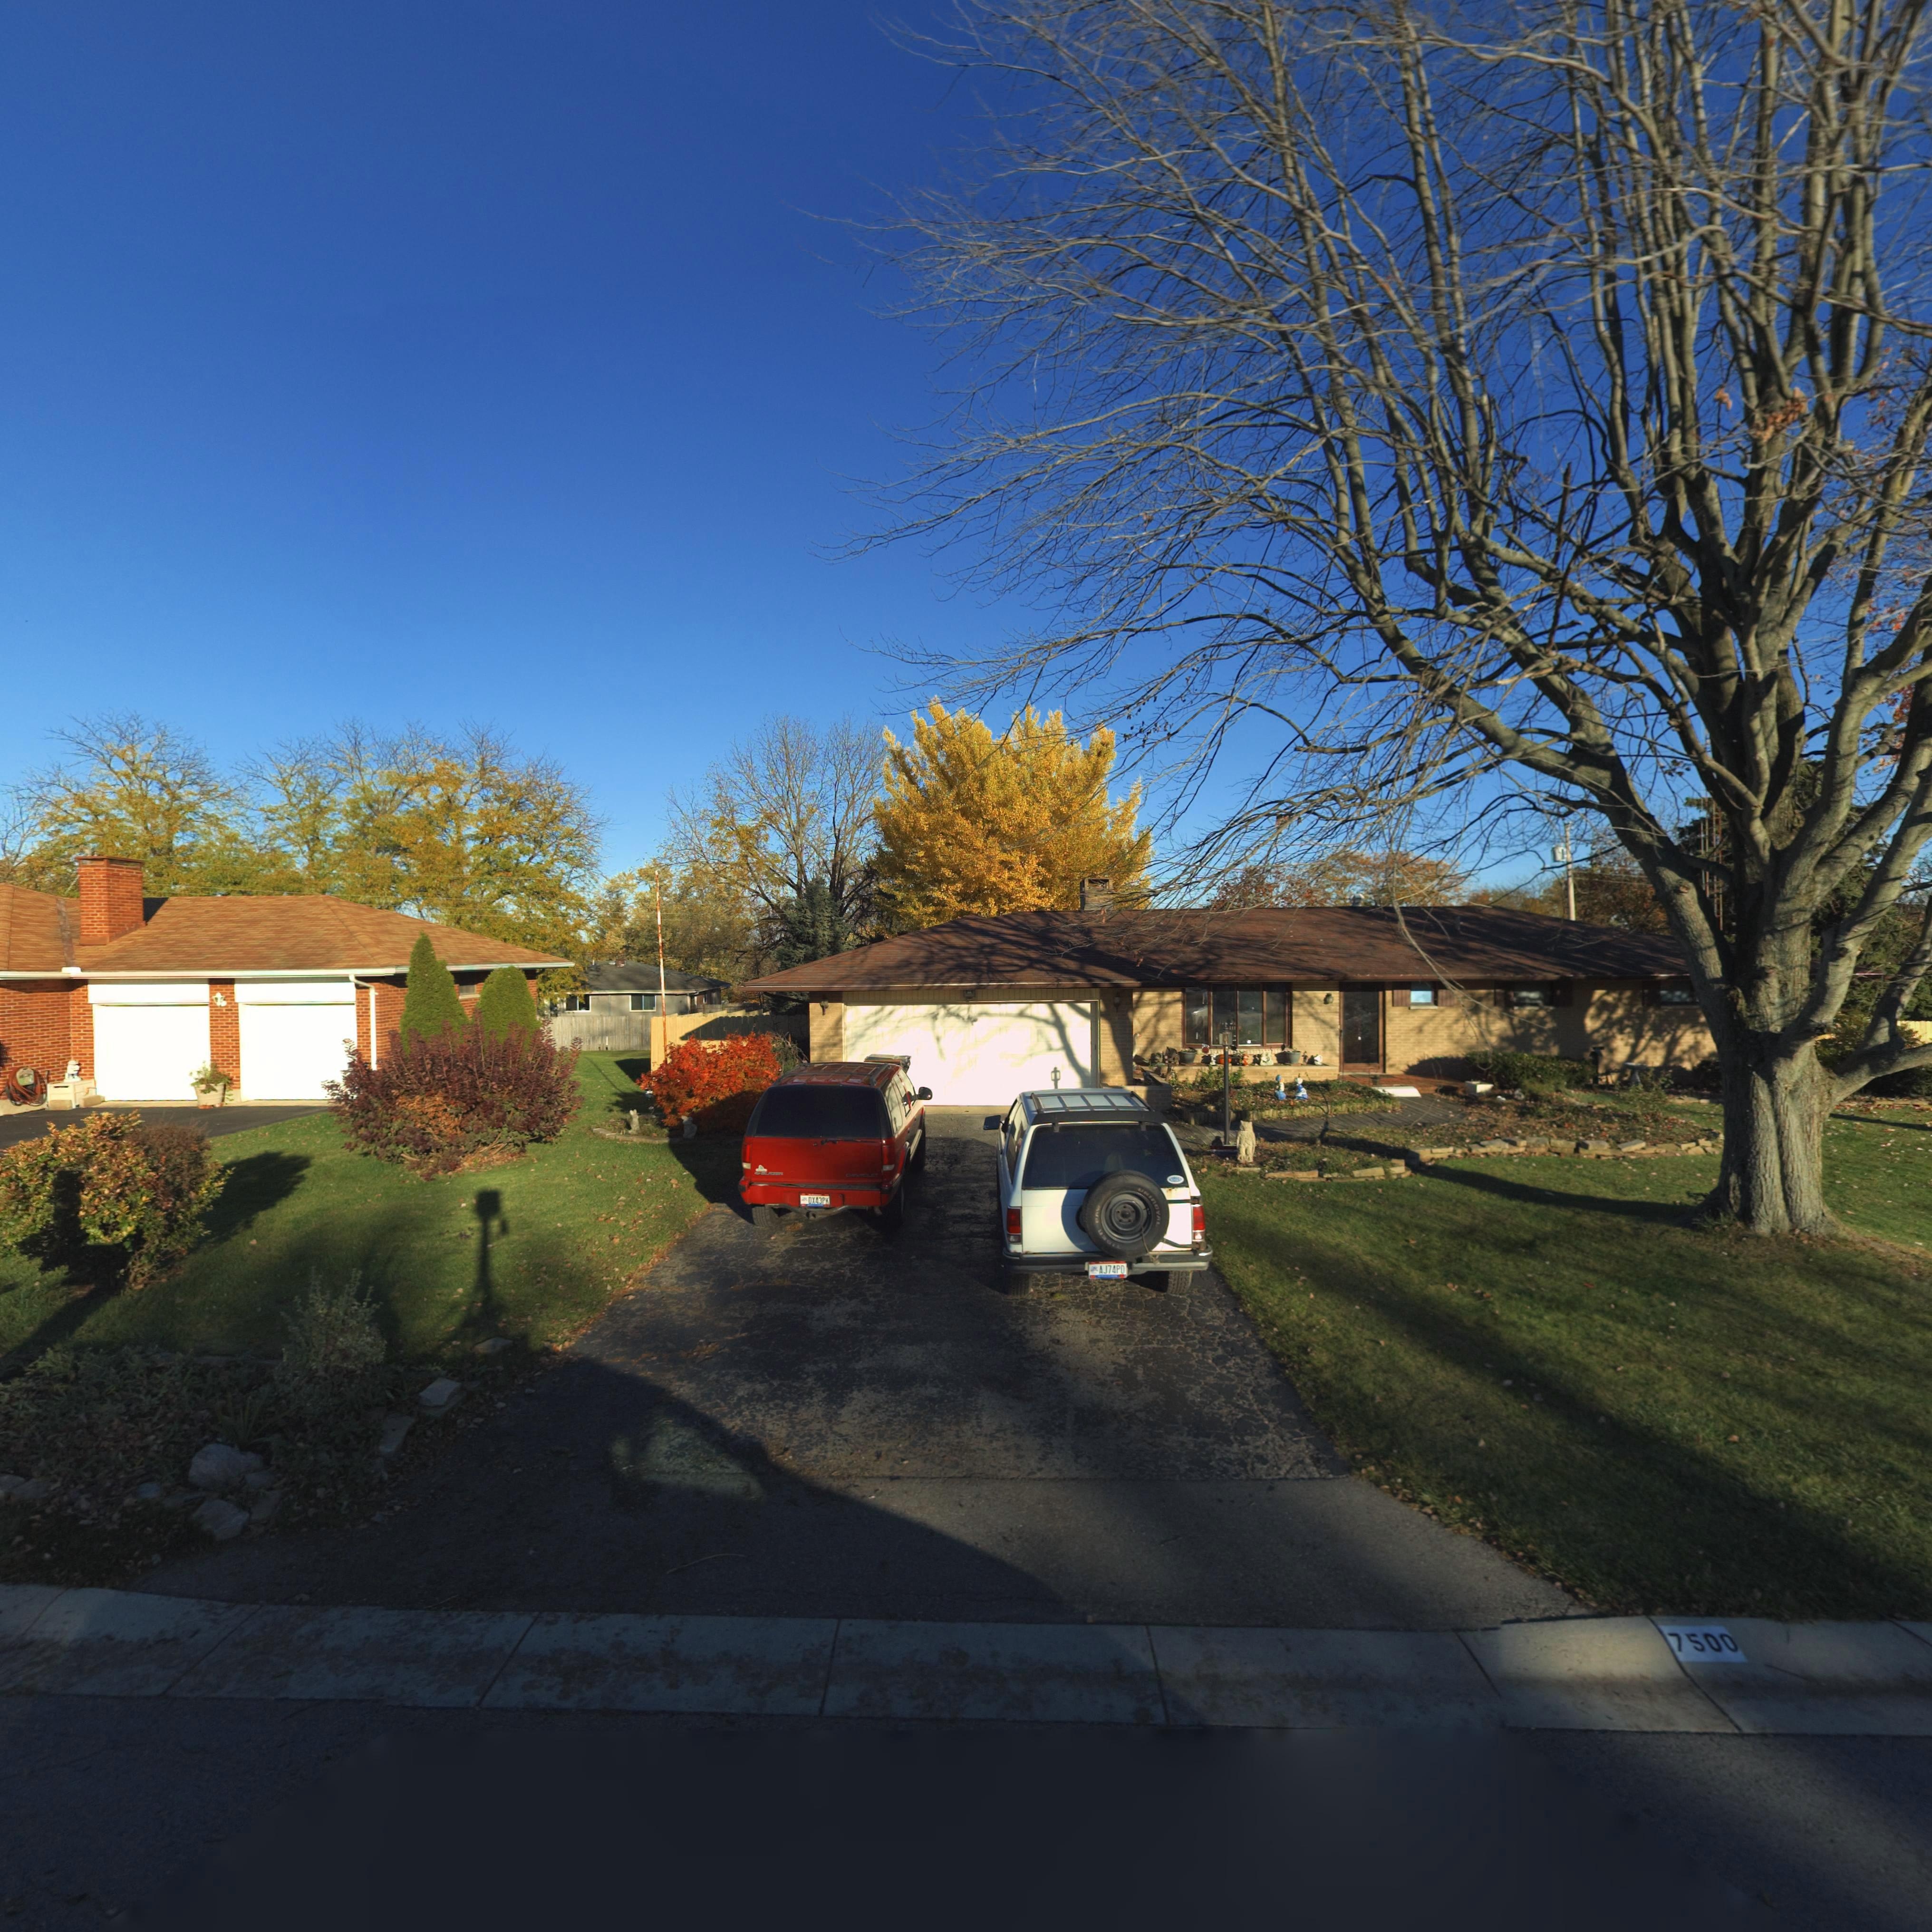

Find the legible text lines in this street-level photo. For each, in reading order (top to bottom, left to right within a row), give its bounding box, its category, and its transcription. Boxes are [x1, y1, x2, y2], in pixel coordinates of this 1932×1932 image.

[1666, 1631, 1740, 1653] StreetNumber: 7500